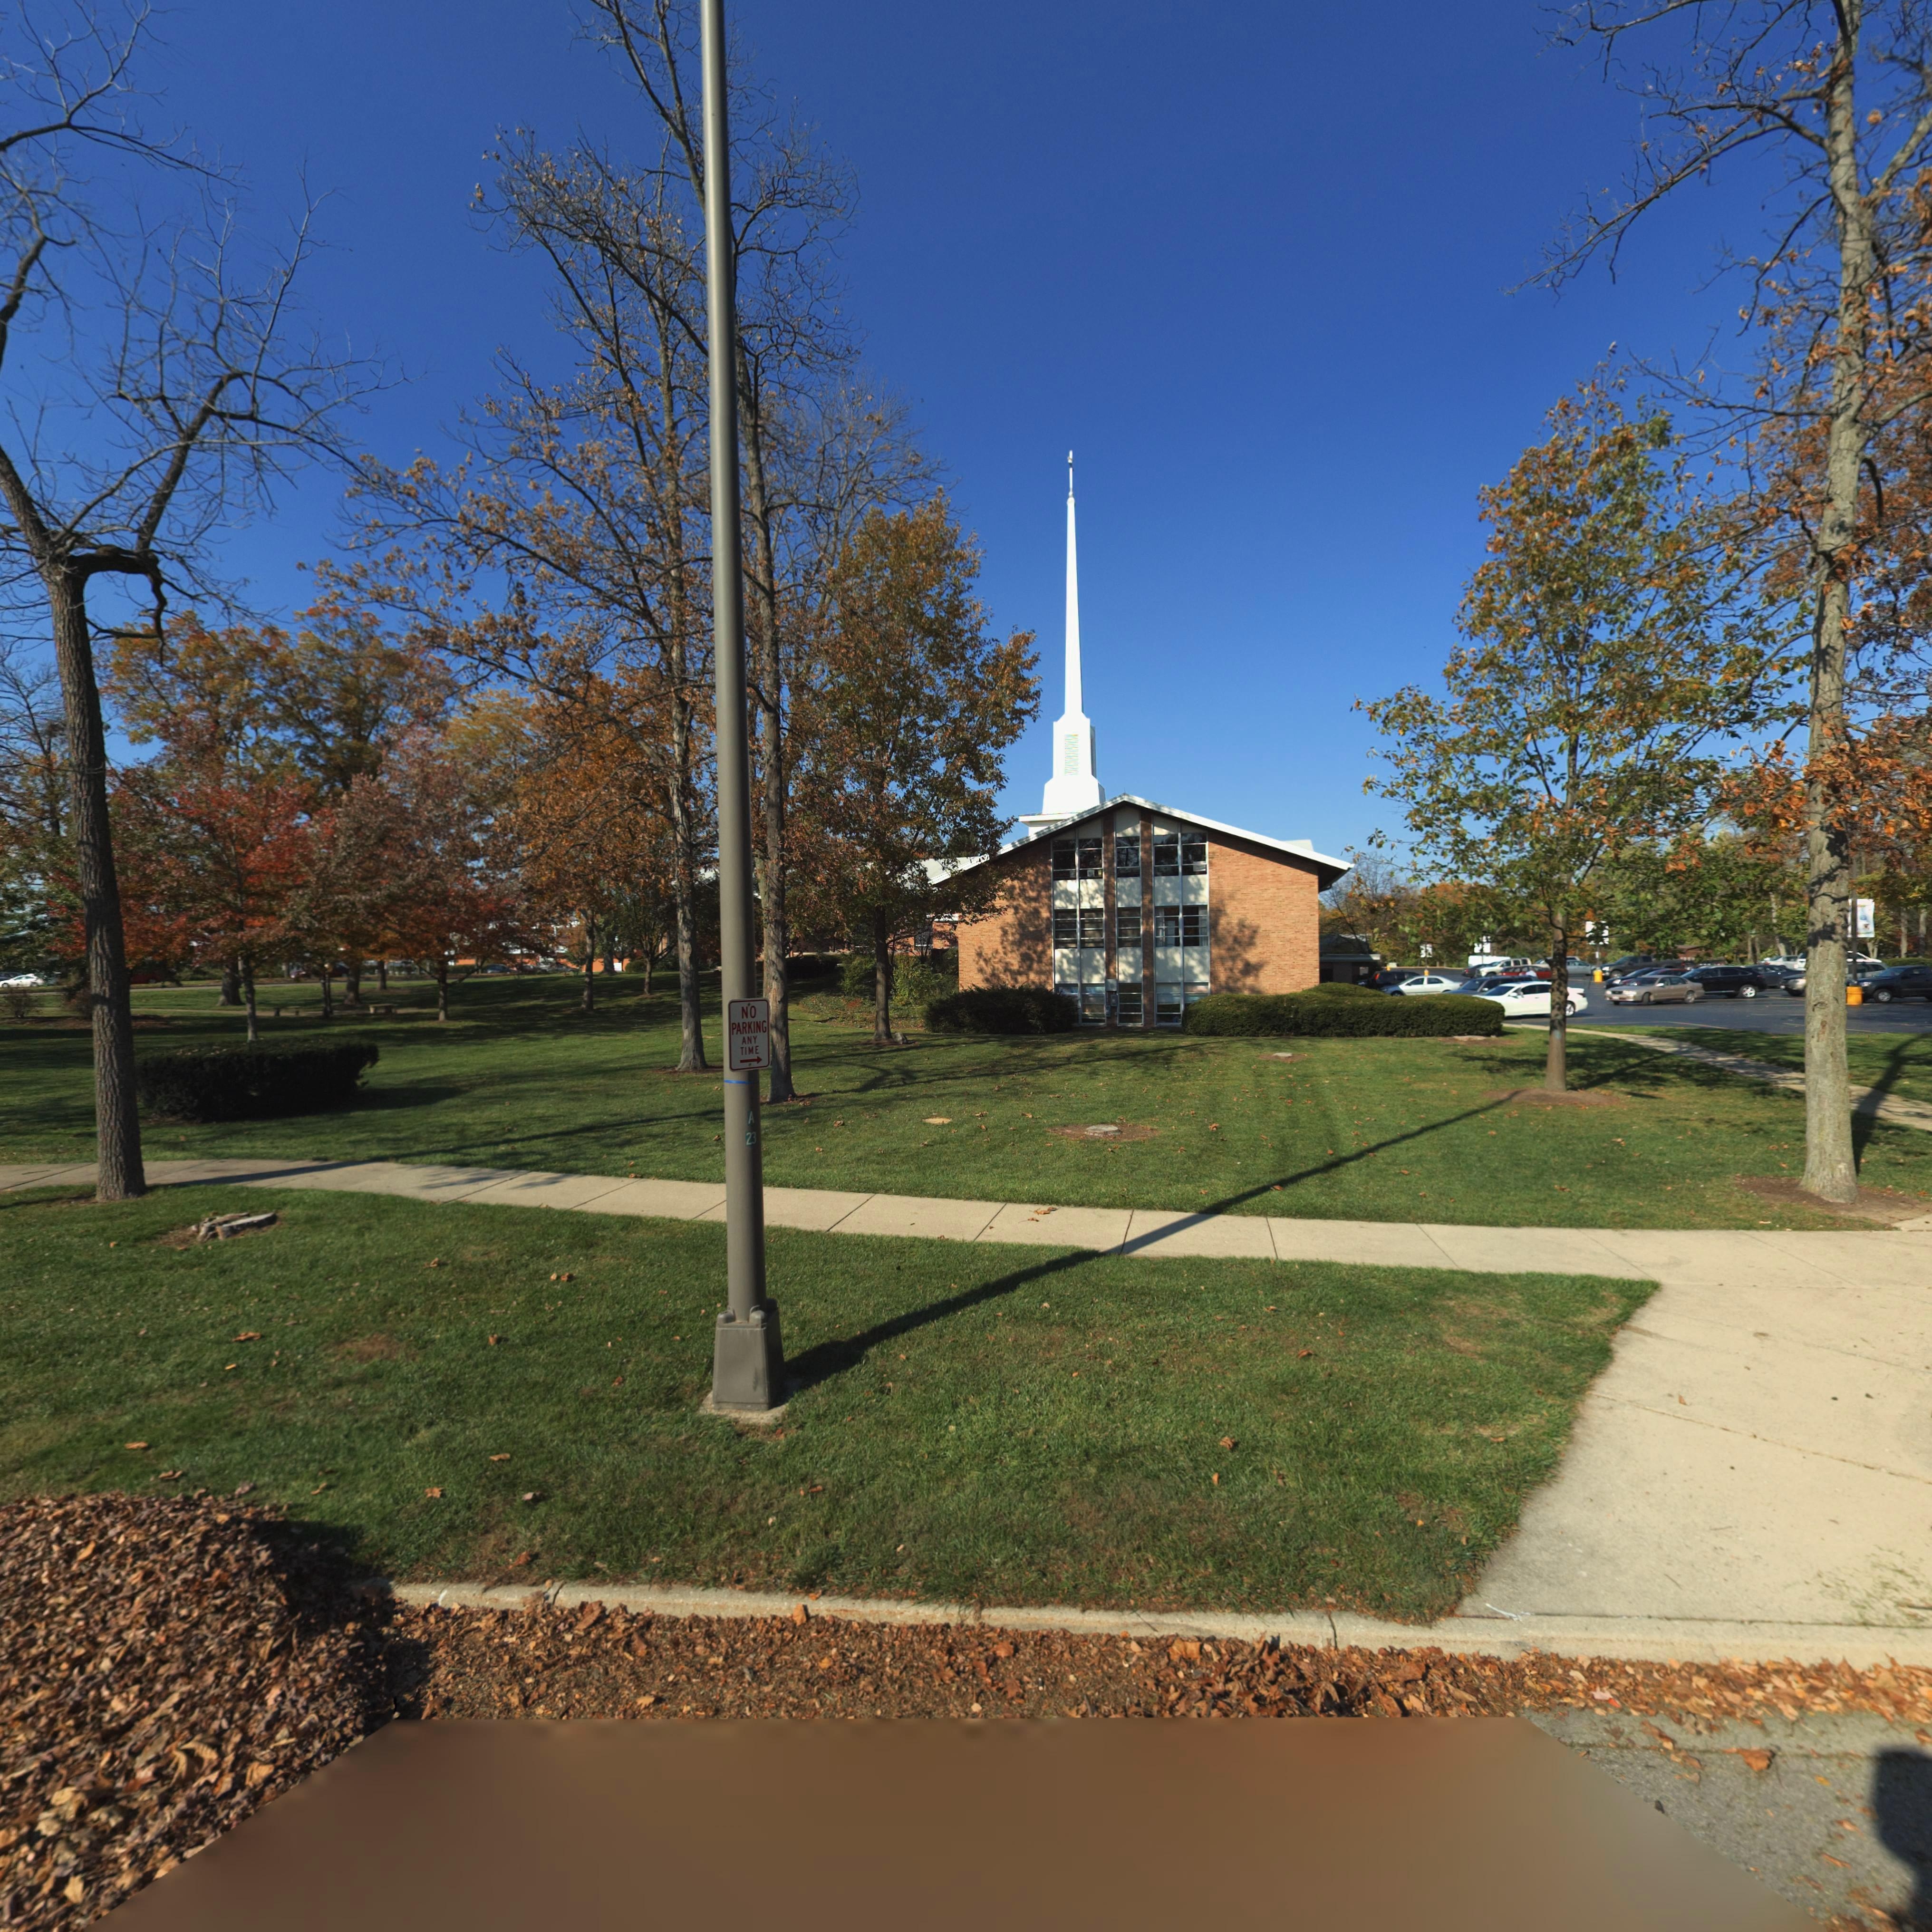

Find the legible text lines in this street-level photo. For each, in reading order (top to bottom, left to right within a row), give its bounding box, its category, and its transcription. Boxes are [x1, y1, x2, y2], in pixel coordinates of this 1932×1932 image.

[741, 1005, 756, 1018] None: NO
[731, 1020, 767, 1036] None: PARKING
[741, 1035, 758, 1045] None: ANY
[740, 1045, 759, 1056] None: TIME
[747, 1110, 755, 1124] None: A
[745, 1130, 757, 1146] None: 23